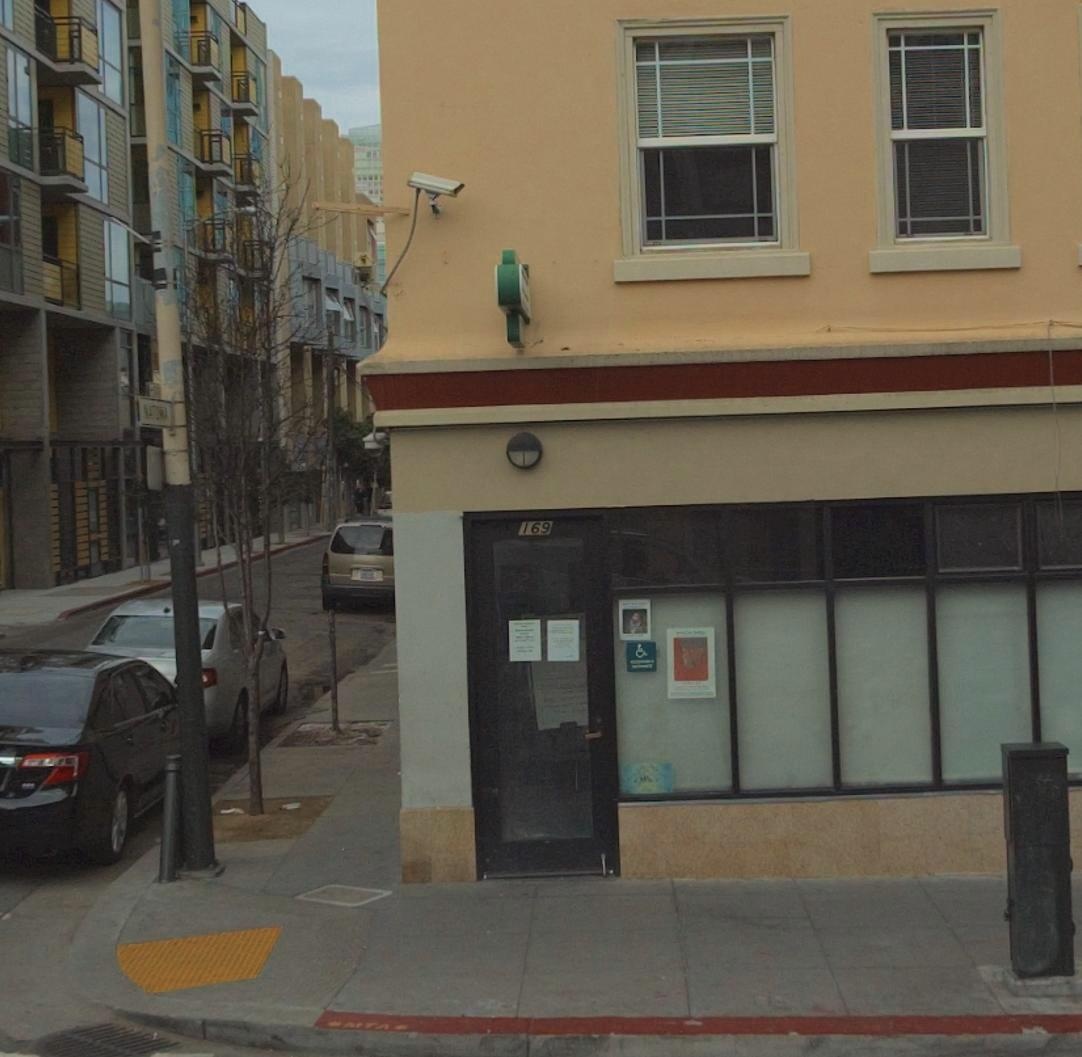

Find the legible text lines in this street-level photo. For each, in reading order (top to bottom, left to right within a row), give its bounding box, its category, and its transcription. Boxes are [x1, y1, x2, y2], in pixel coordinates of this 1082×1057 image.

[519, 520, 553, 536] StreetNumber: 169
[342, 1019, 392, 1032] None: *TA